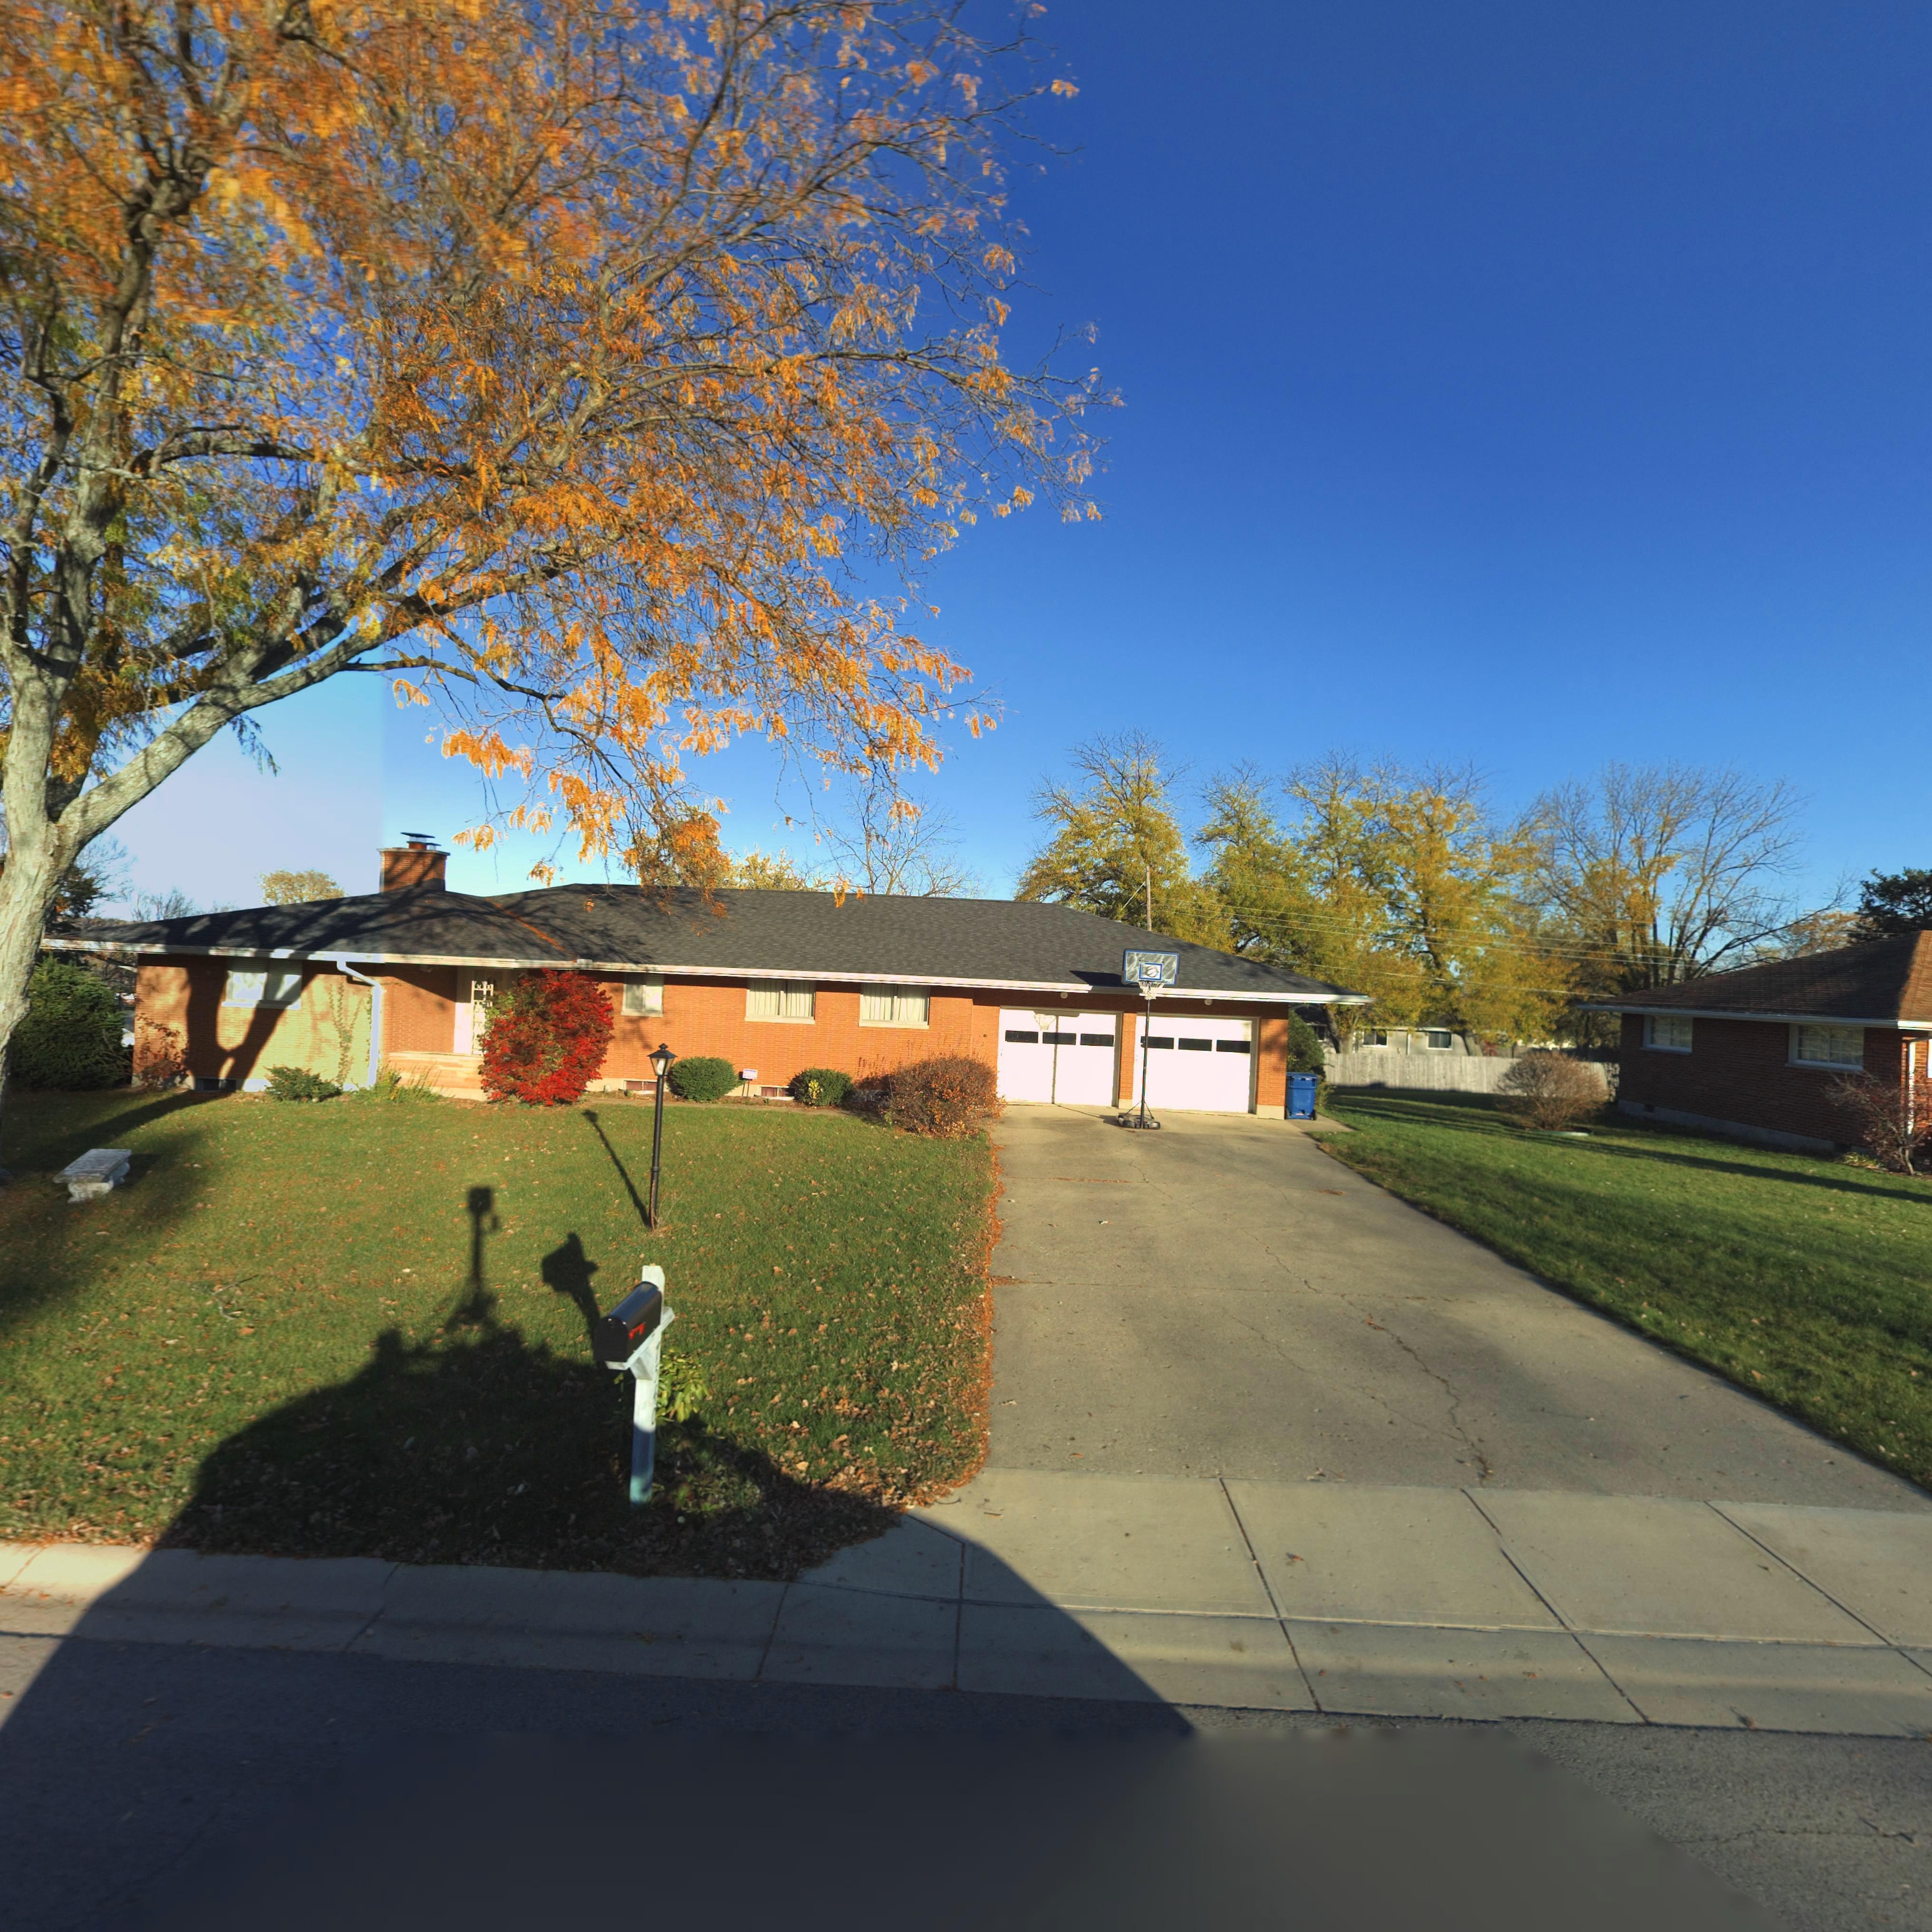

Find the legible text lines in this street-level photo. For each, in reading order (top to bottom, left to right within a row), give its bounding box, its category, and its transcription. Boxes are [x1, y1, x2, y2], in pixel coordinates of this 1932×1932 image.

[650, 1338, 662, 1427] StreetNumber: 7560